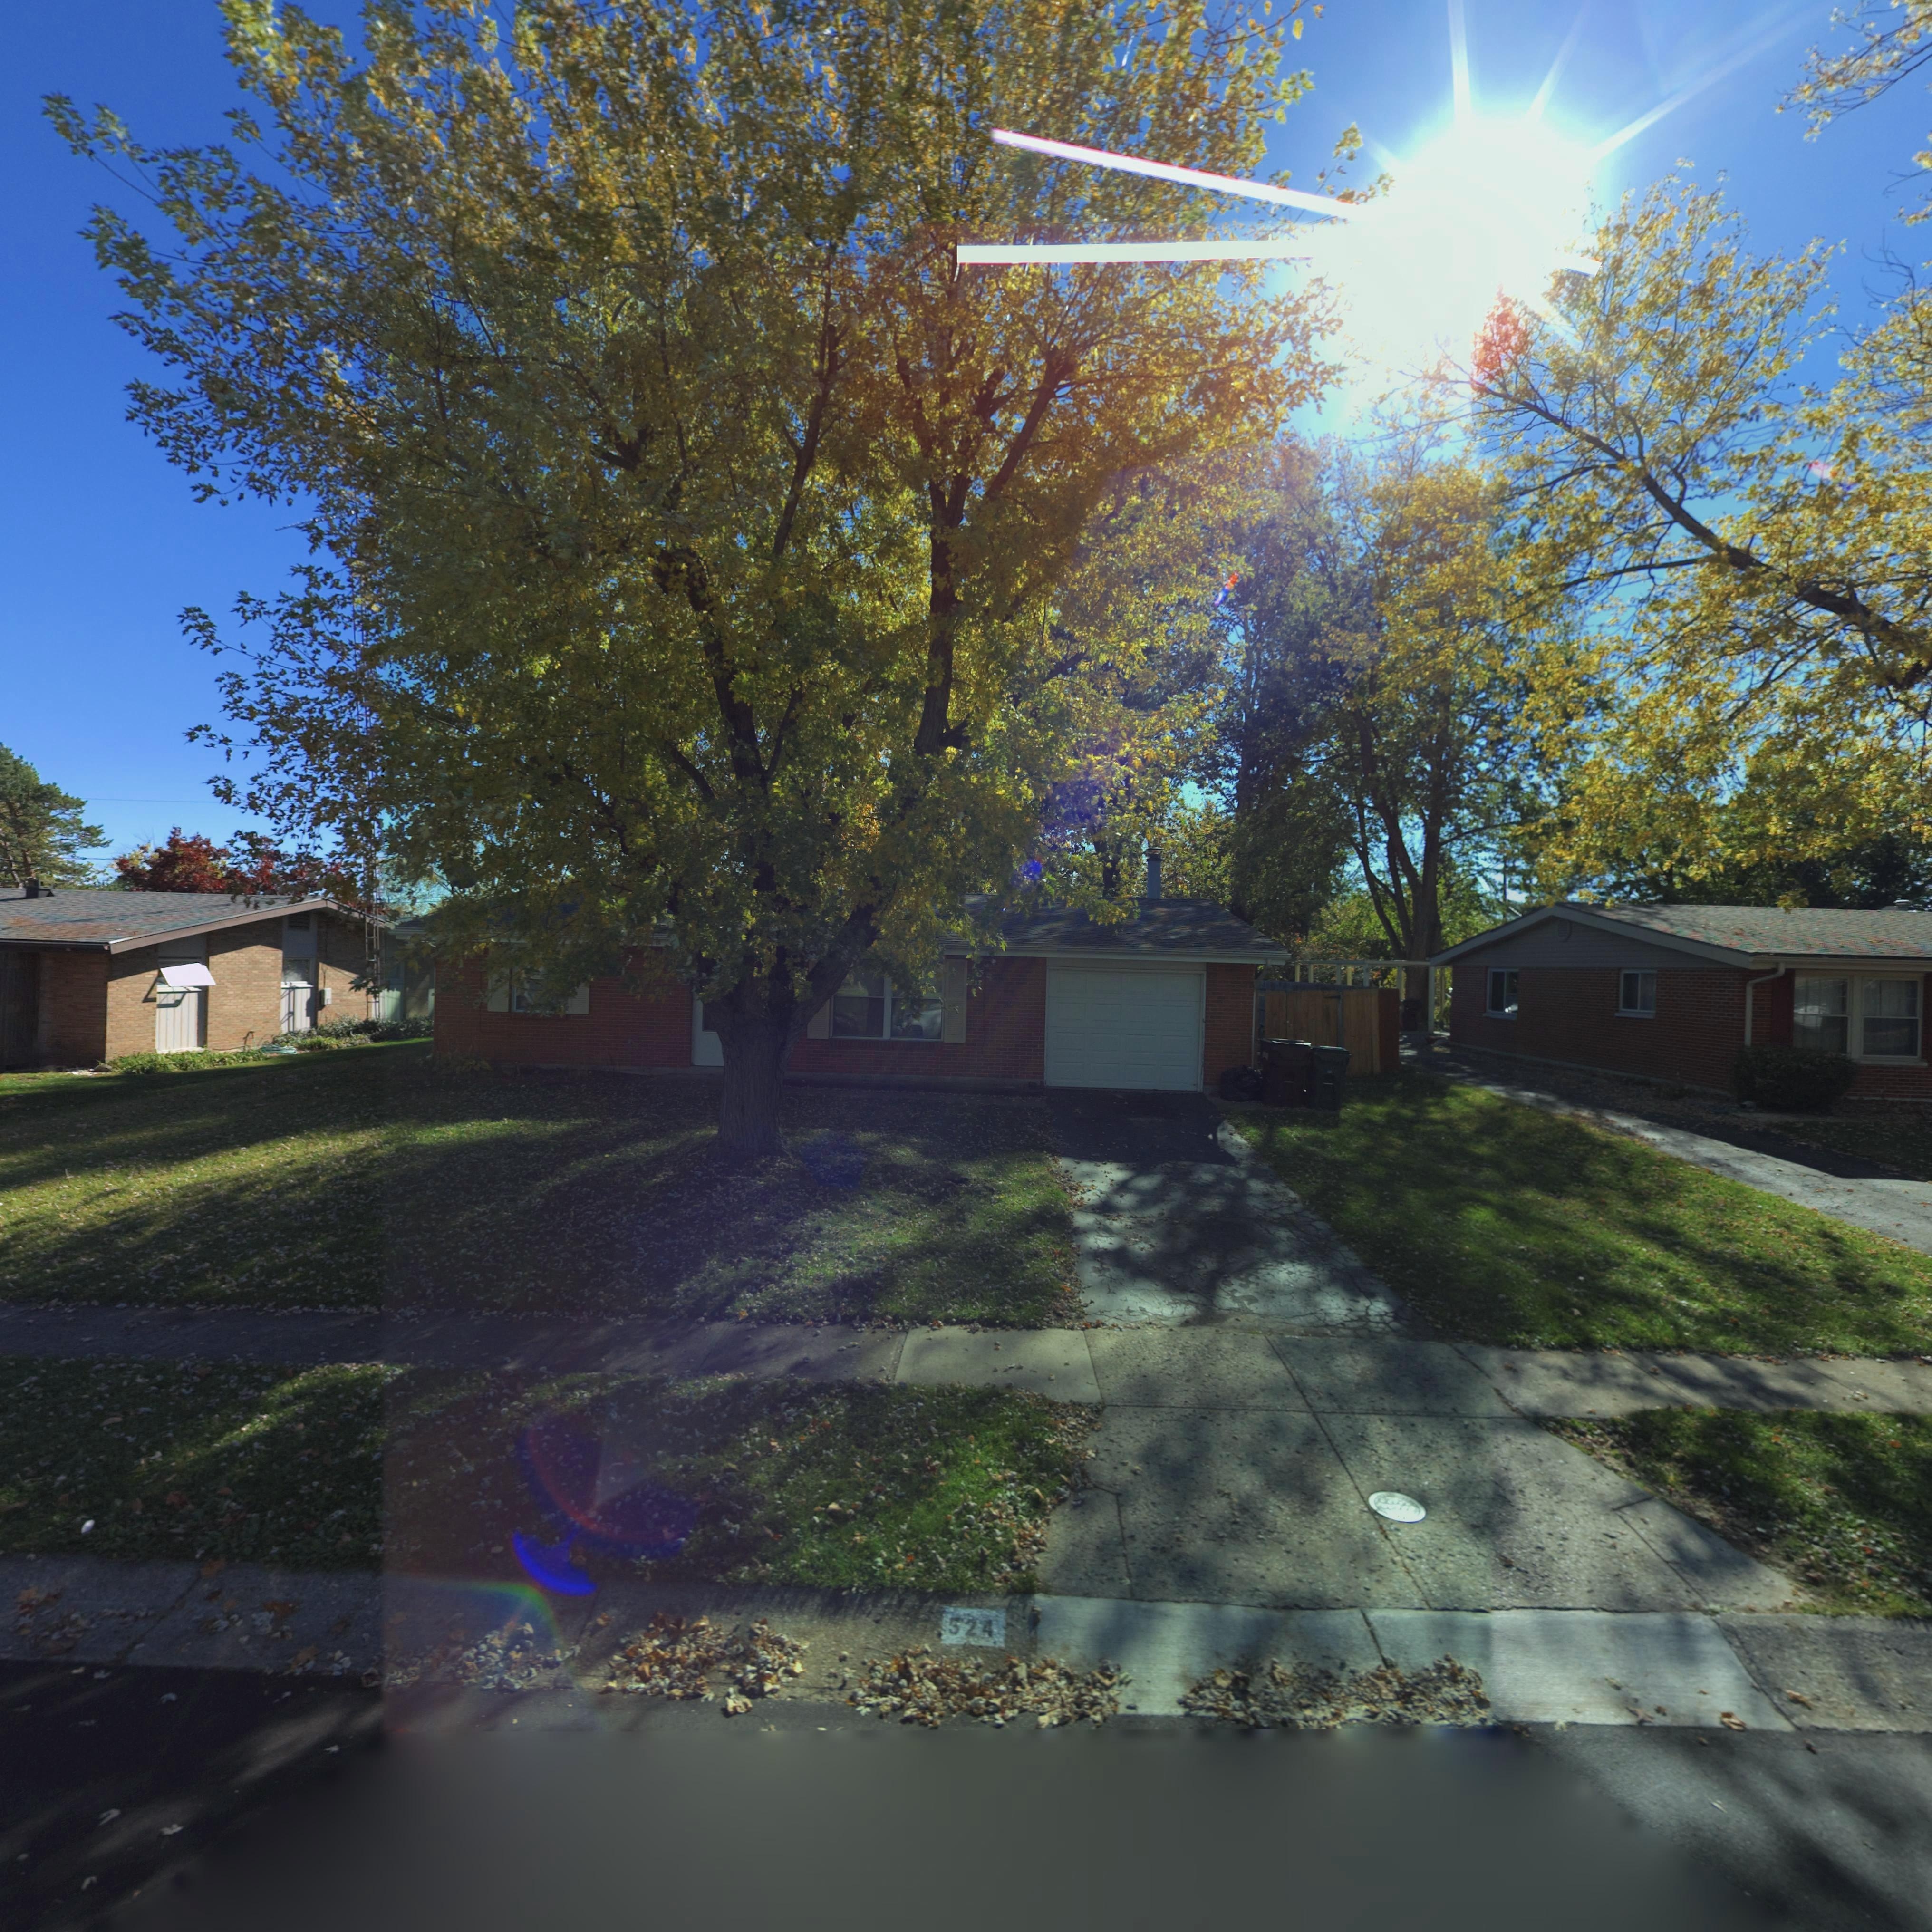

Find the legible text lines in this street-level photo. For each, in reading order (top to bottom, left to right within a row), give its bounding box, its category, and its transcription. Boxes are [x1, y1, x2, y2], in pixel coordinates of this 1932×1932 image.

[946, 1616, 995, 1640] StreetNumber: 524